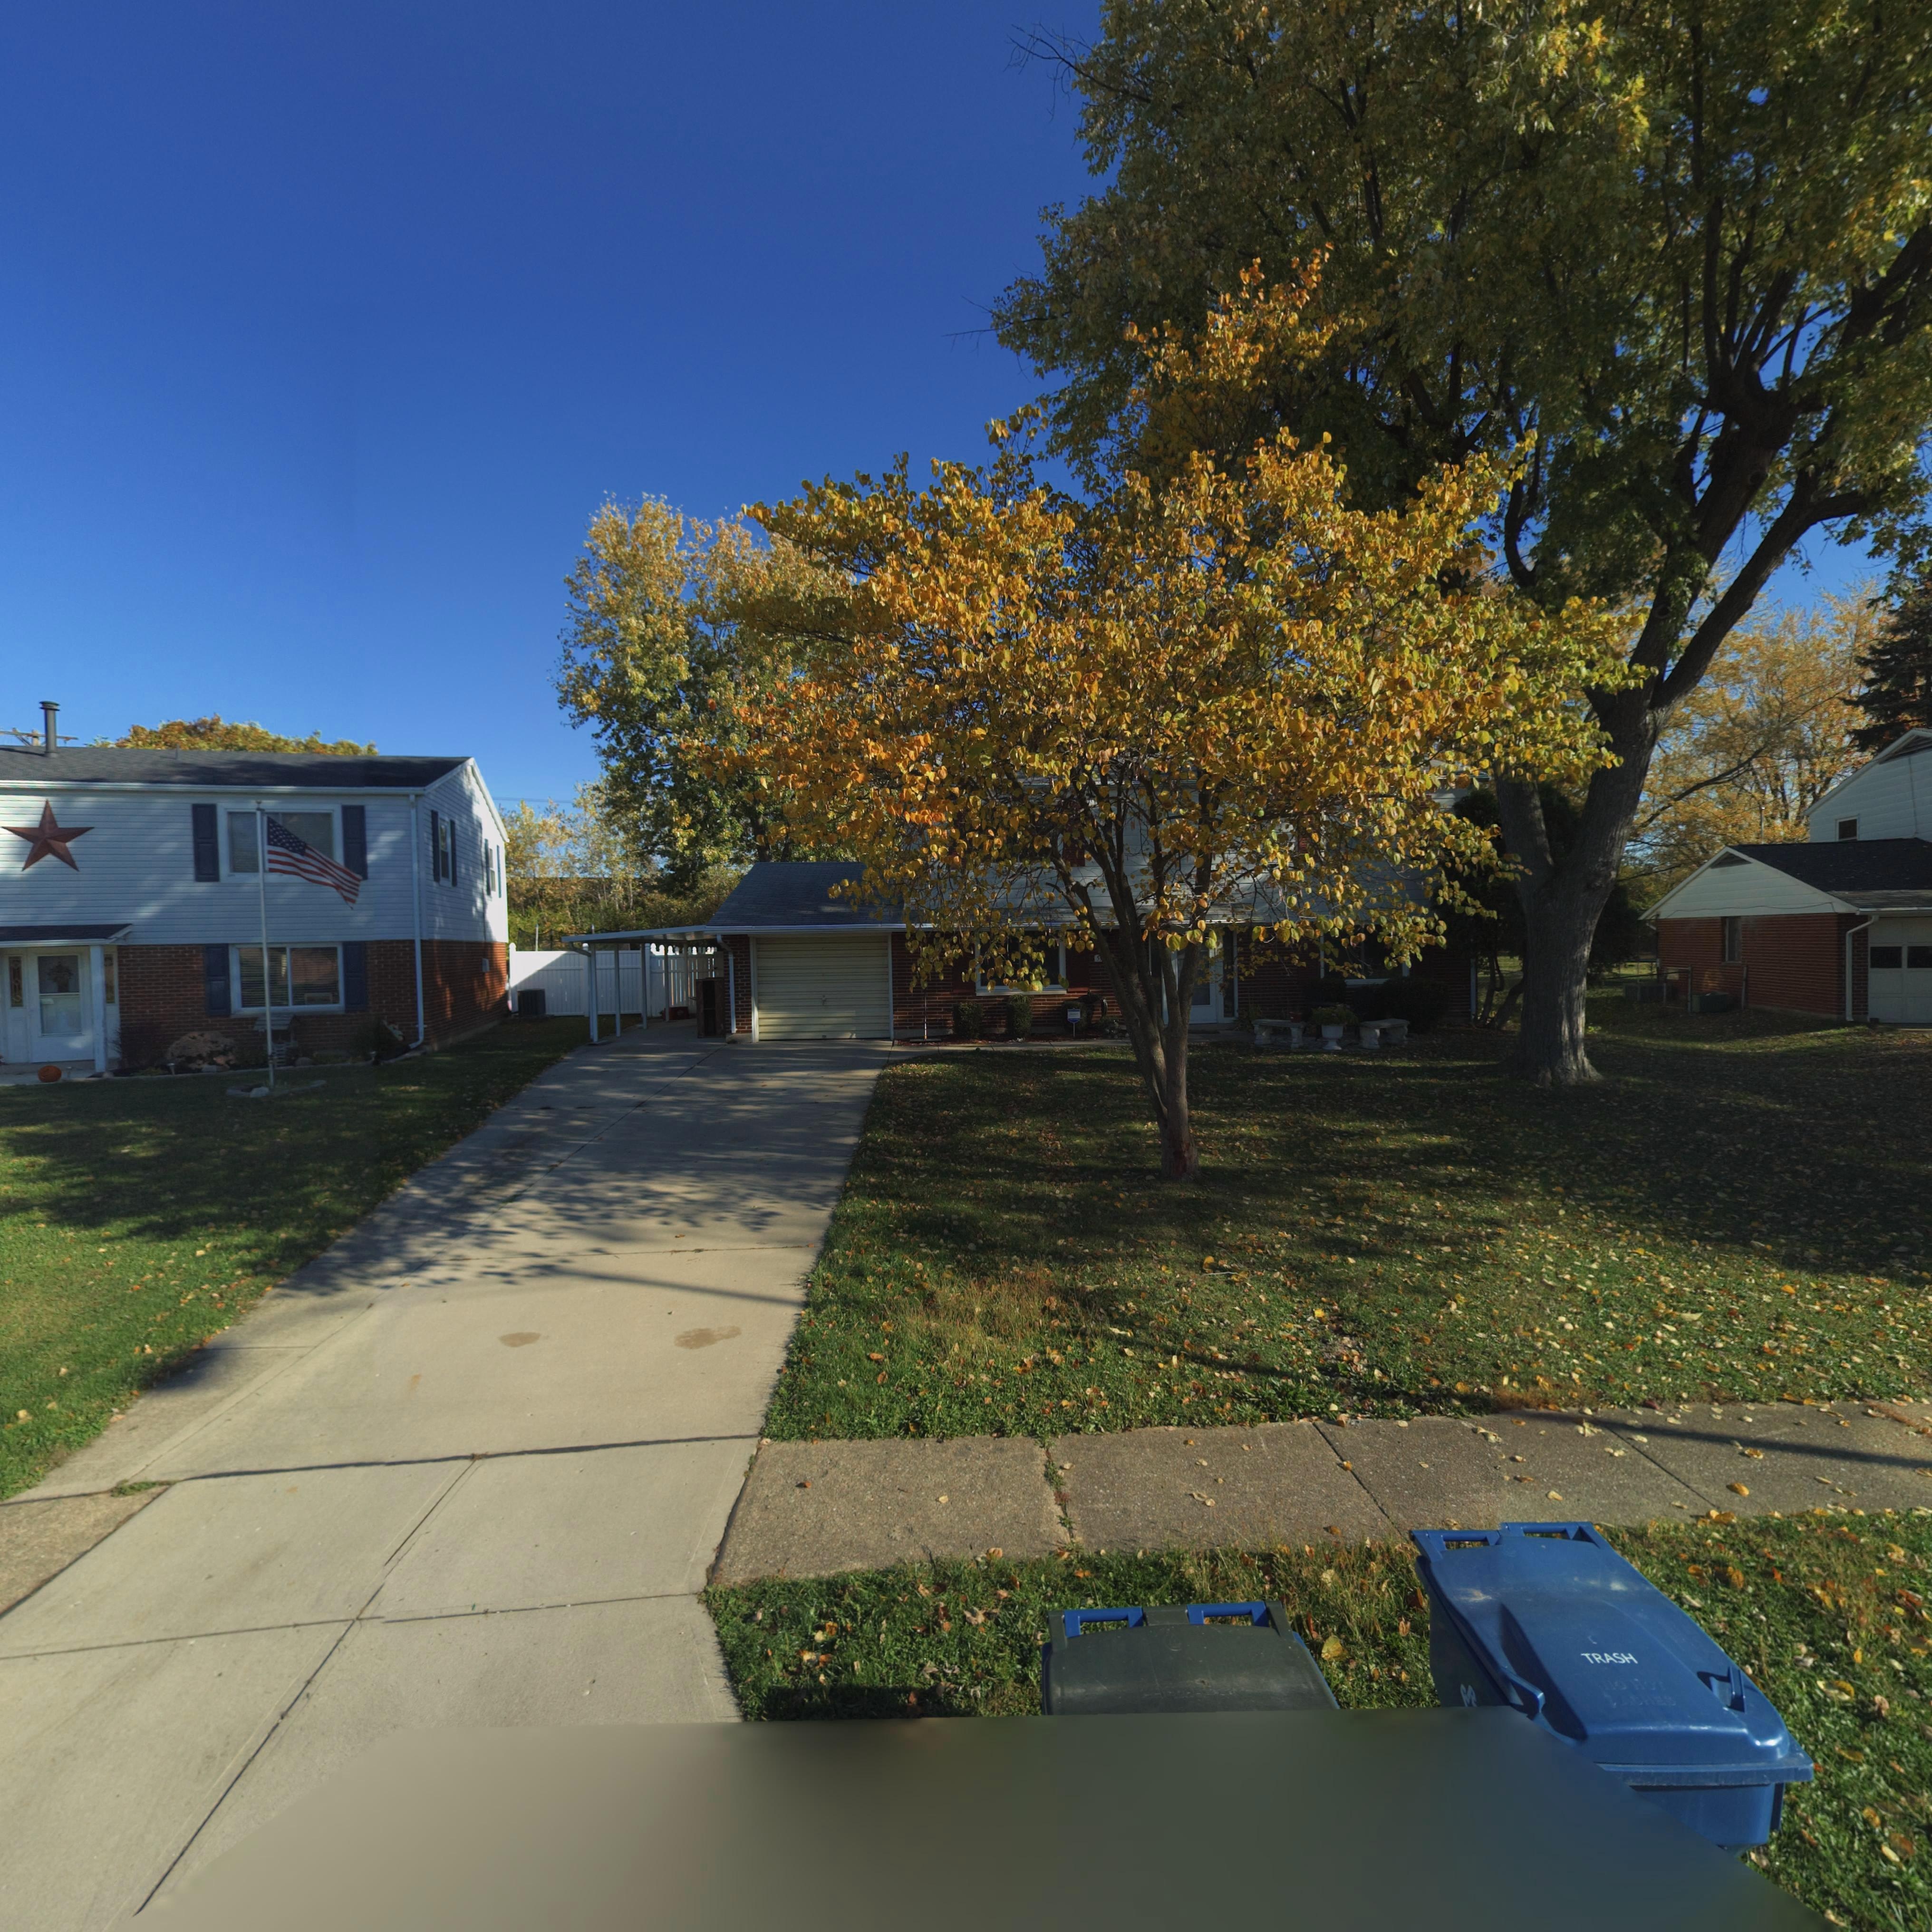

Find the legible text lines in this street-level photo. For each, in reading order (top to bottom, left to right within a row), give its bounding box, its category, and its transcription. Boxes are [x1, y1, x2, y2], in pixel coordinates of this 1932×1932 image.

[1095, 955, 1101, 963] StreetNumber: 5